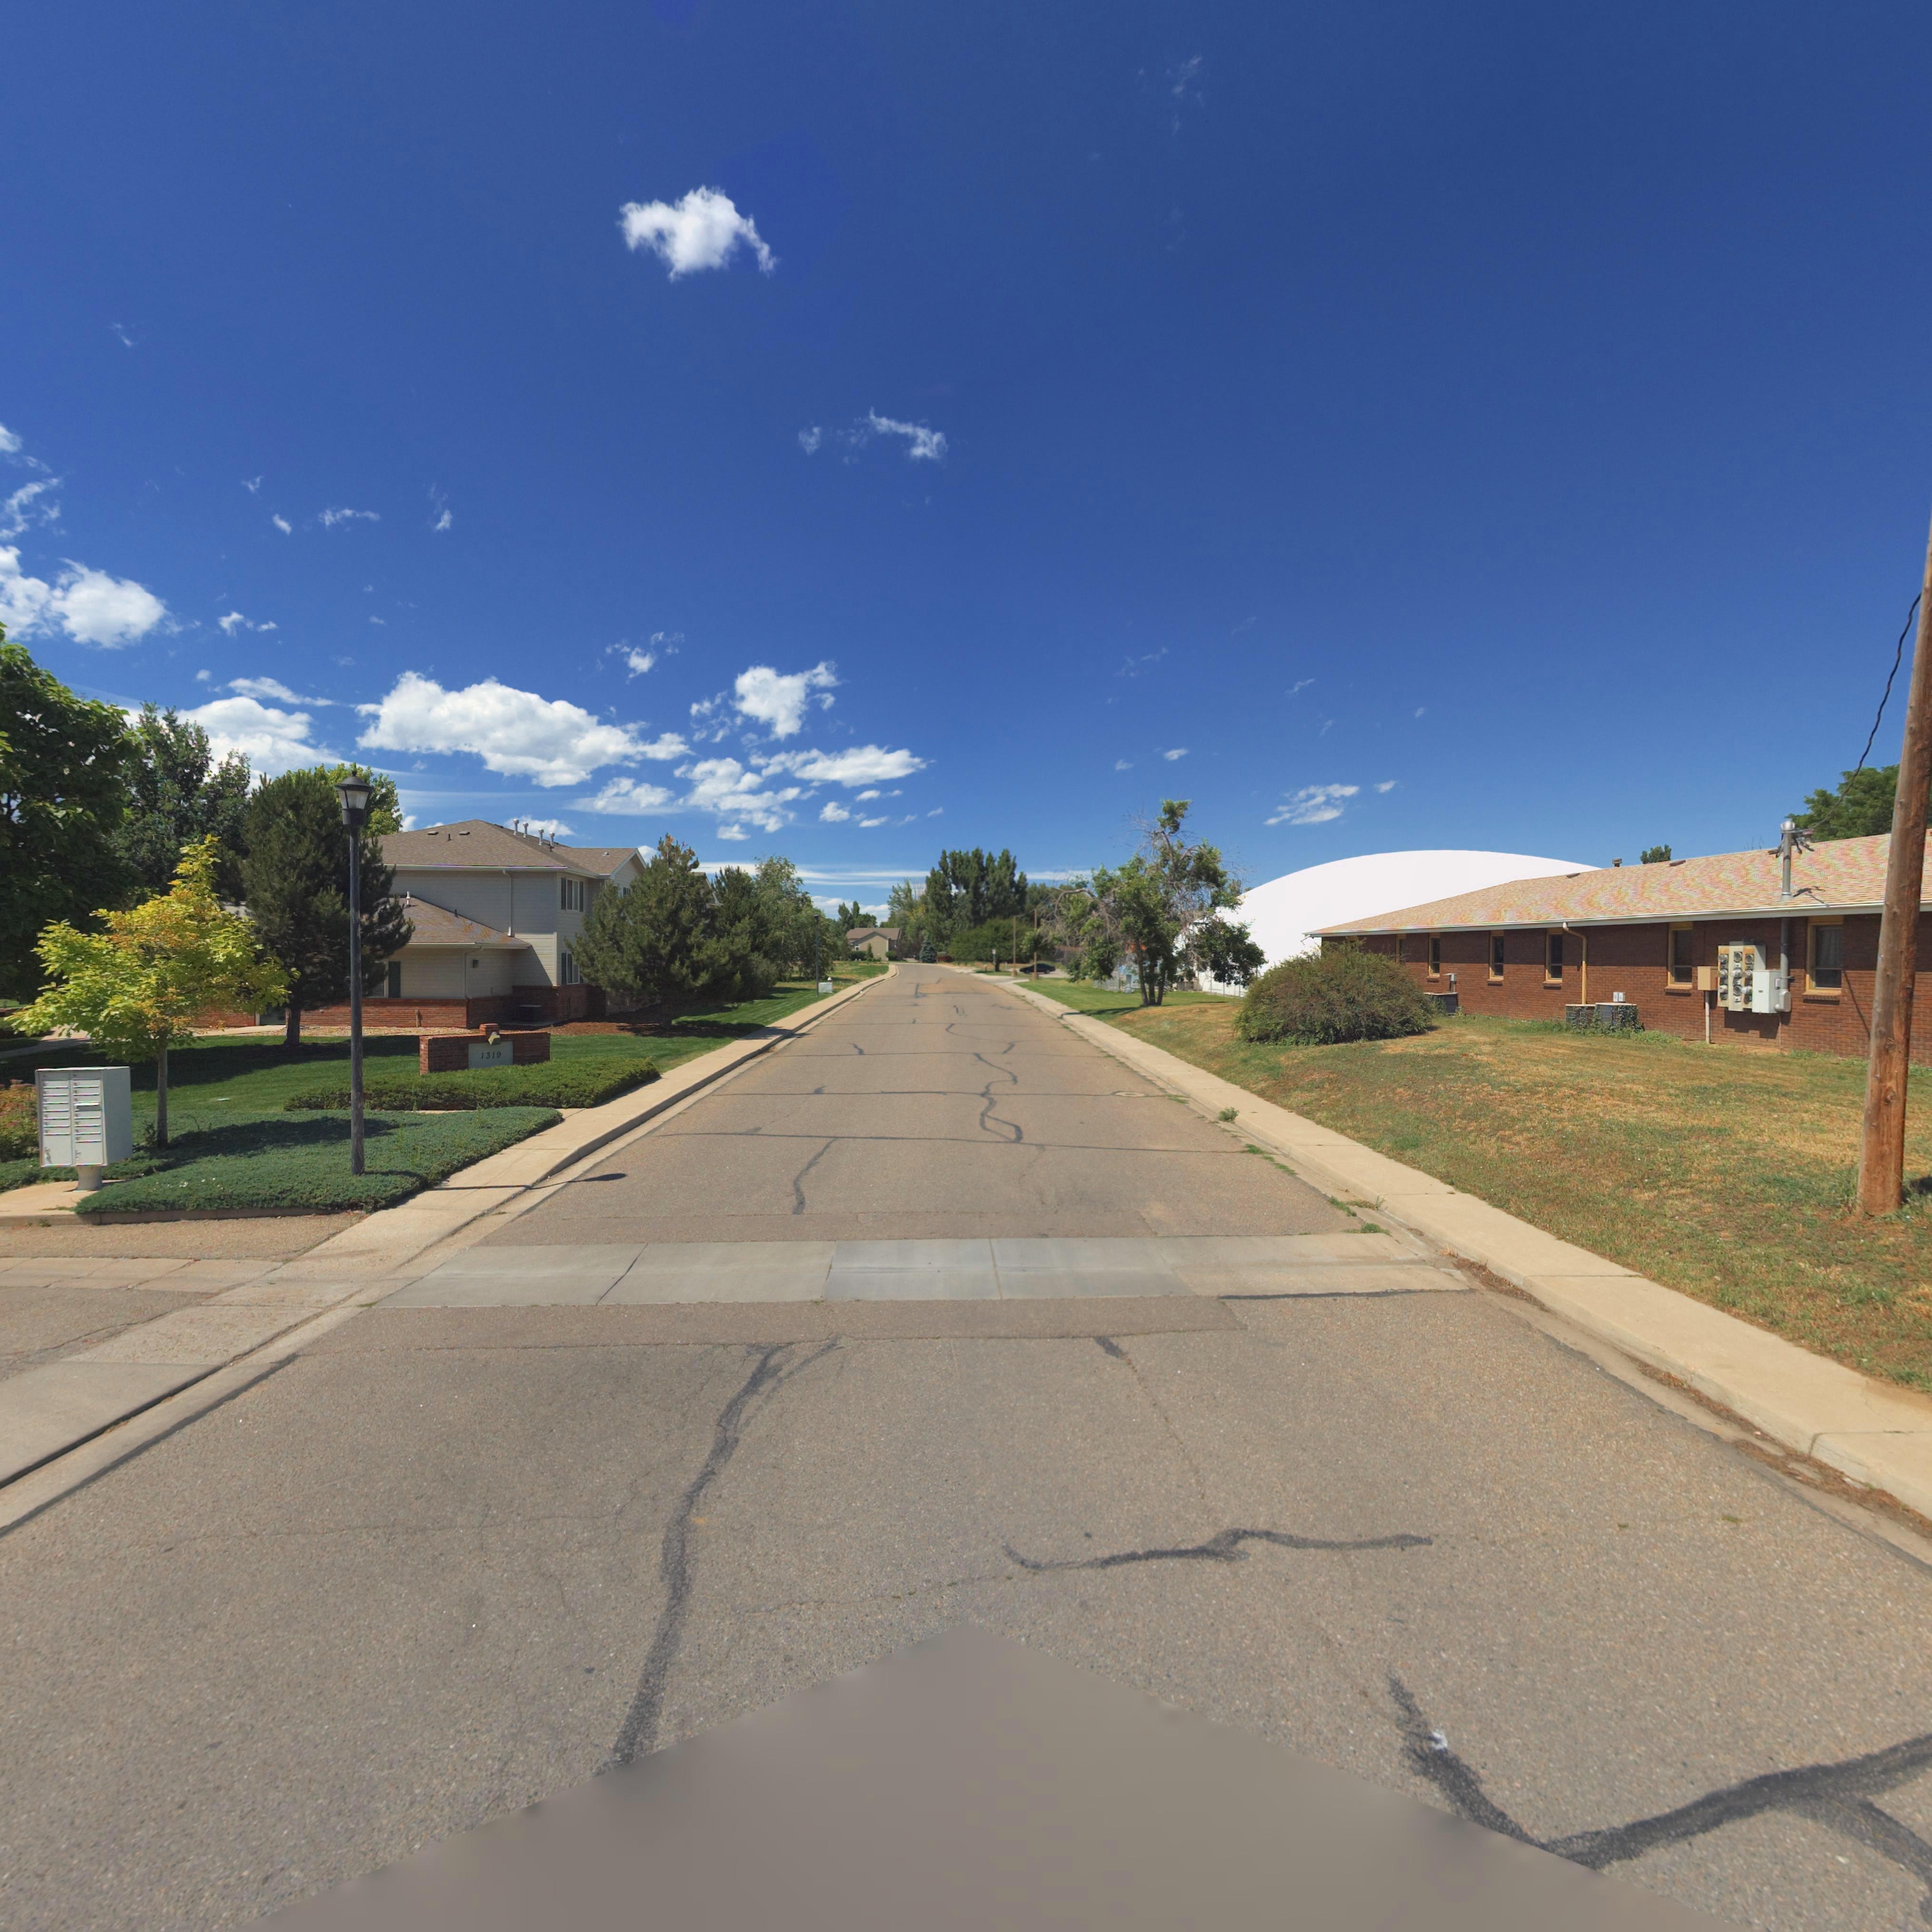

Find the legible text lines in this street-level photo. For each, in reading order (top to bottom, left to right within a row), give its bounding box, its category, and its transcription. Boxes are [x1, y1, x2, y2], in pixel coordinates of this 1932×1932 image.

[480, 1051, 501, 1059] StreetNumber: 1319